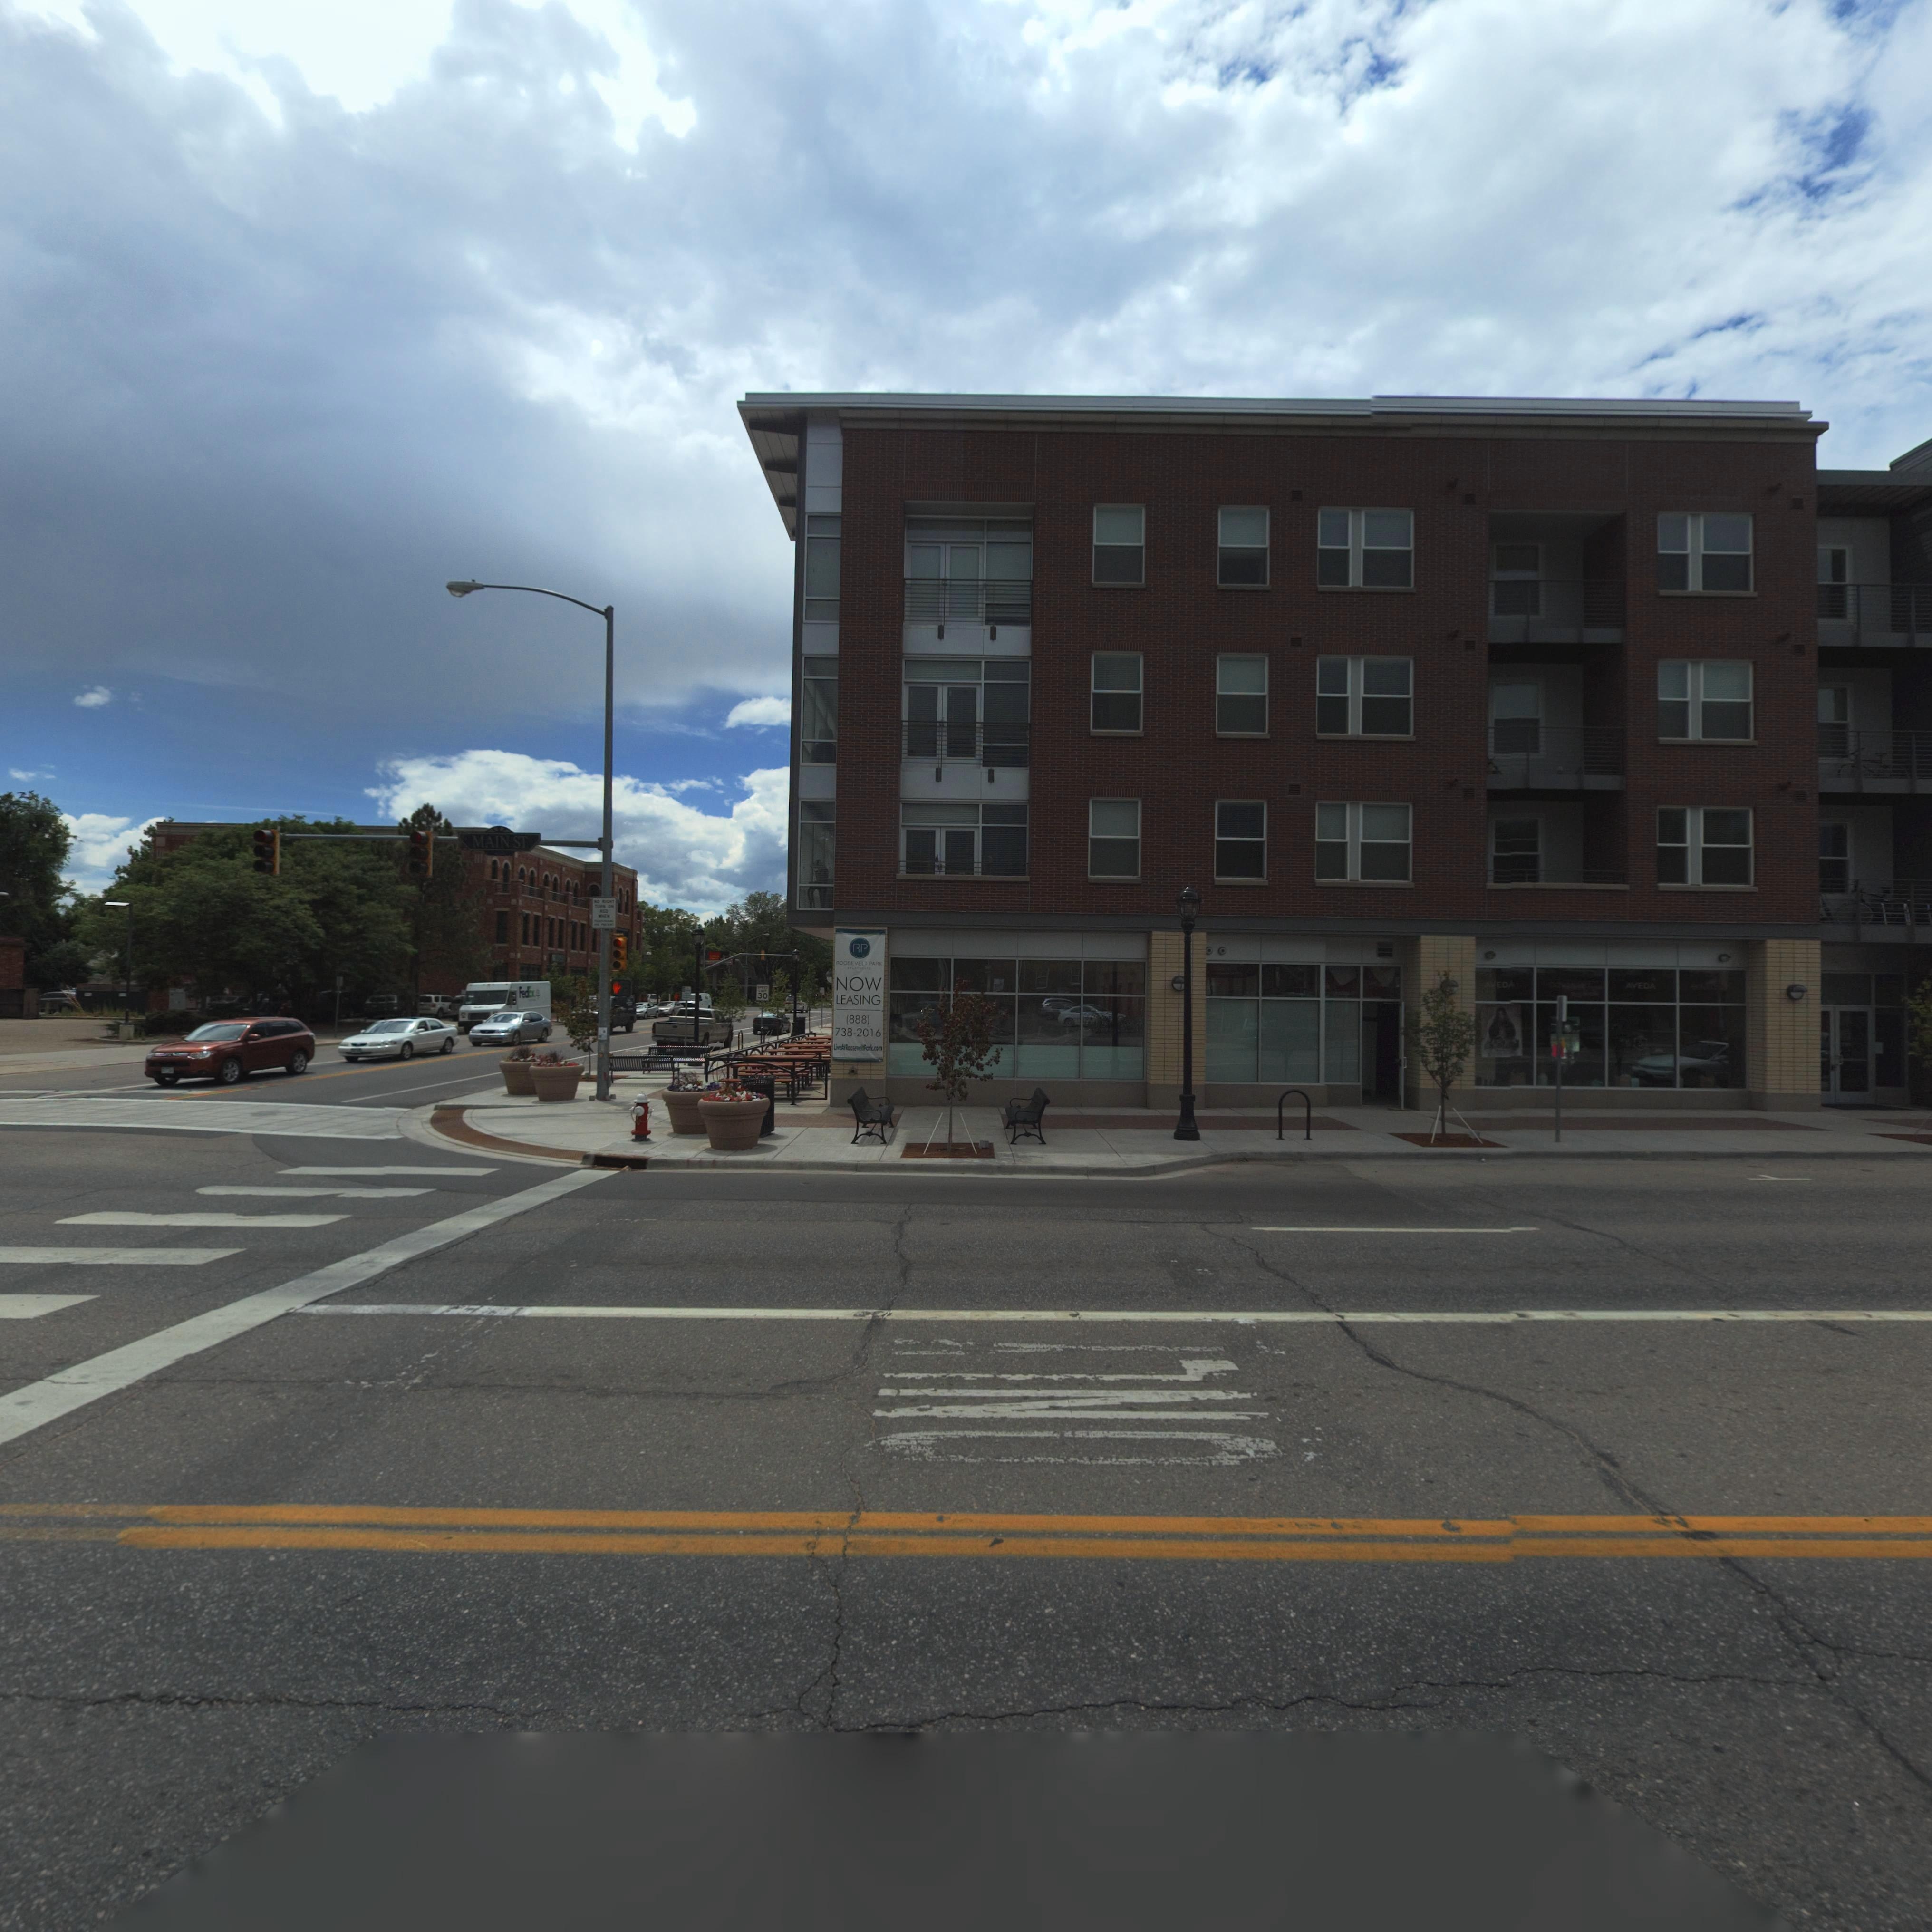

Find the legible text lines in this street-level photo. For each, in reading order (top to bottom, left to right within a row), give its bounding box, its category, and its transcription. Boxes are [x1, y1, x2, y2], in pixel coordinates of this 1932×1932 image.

[472, 834, 529, 850] StreetName: MAIN ST